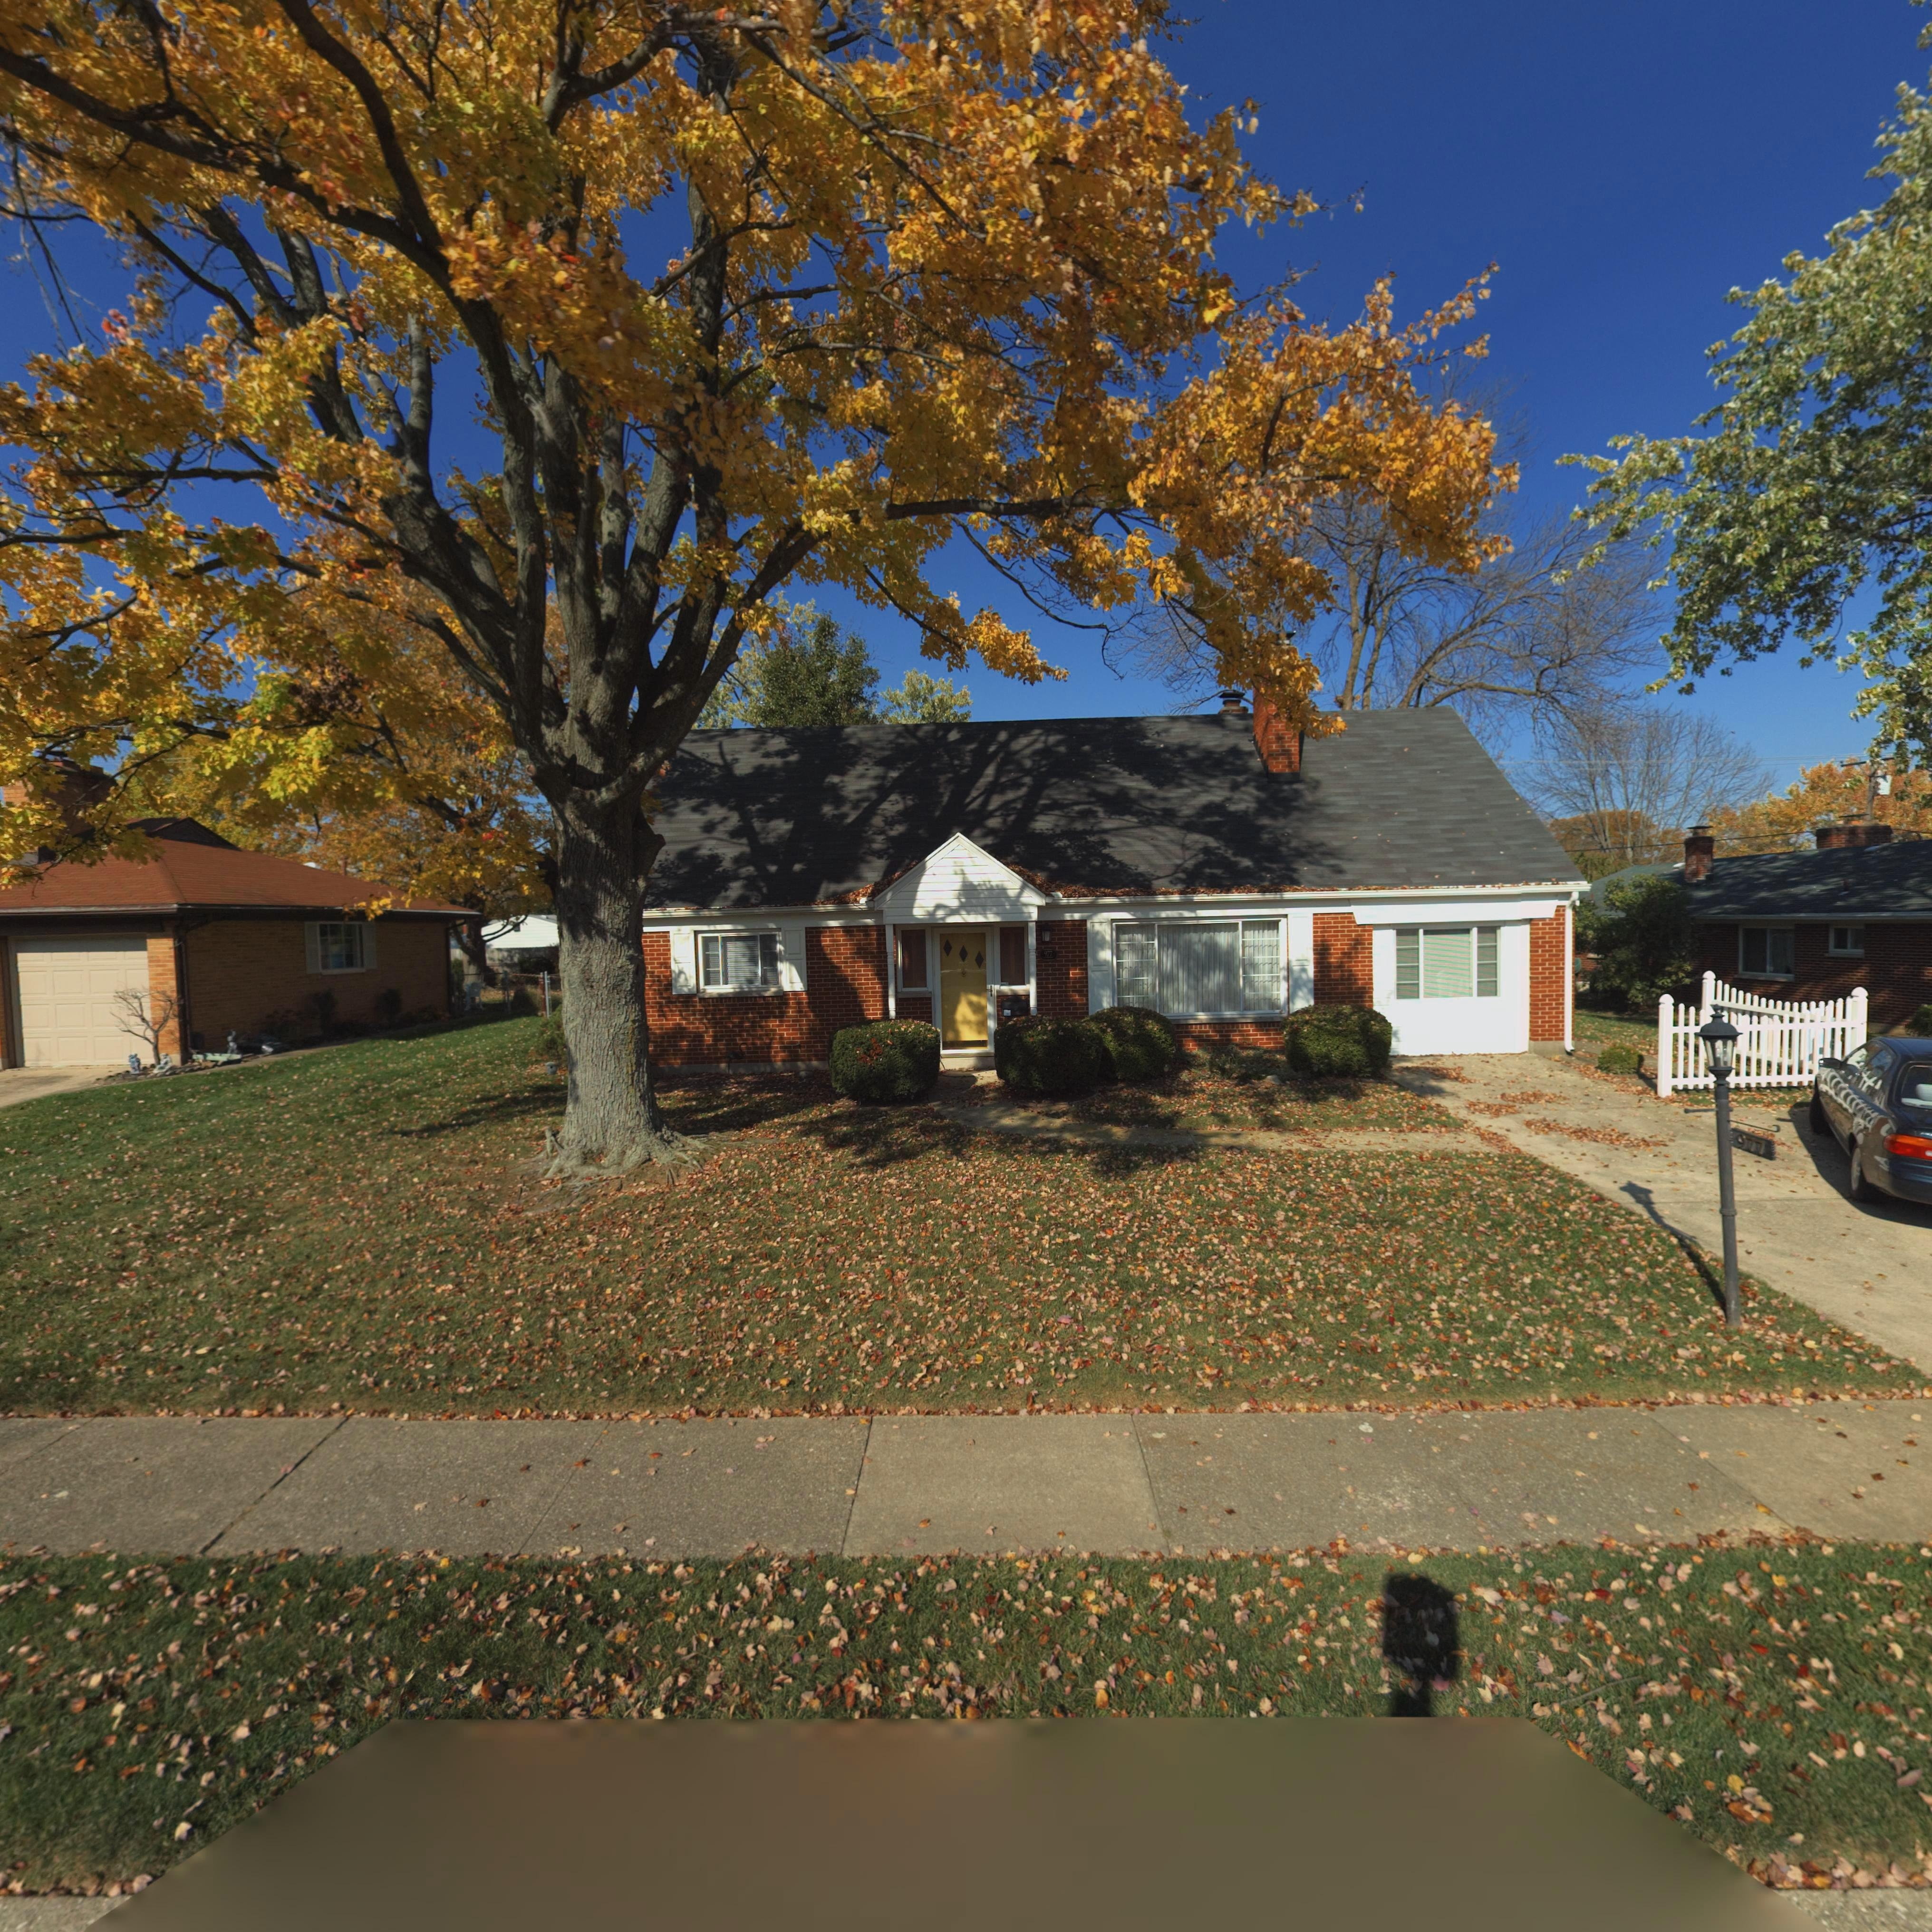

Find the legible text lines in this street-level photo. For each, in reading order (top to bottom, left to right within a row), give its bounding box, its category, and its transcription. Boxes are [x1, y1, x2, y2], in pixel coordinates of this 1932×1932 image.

[1736, 1132, 1765, 1156] StreetNumber: 977